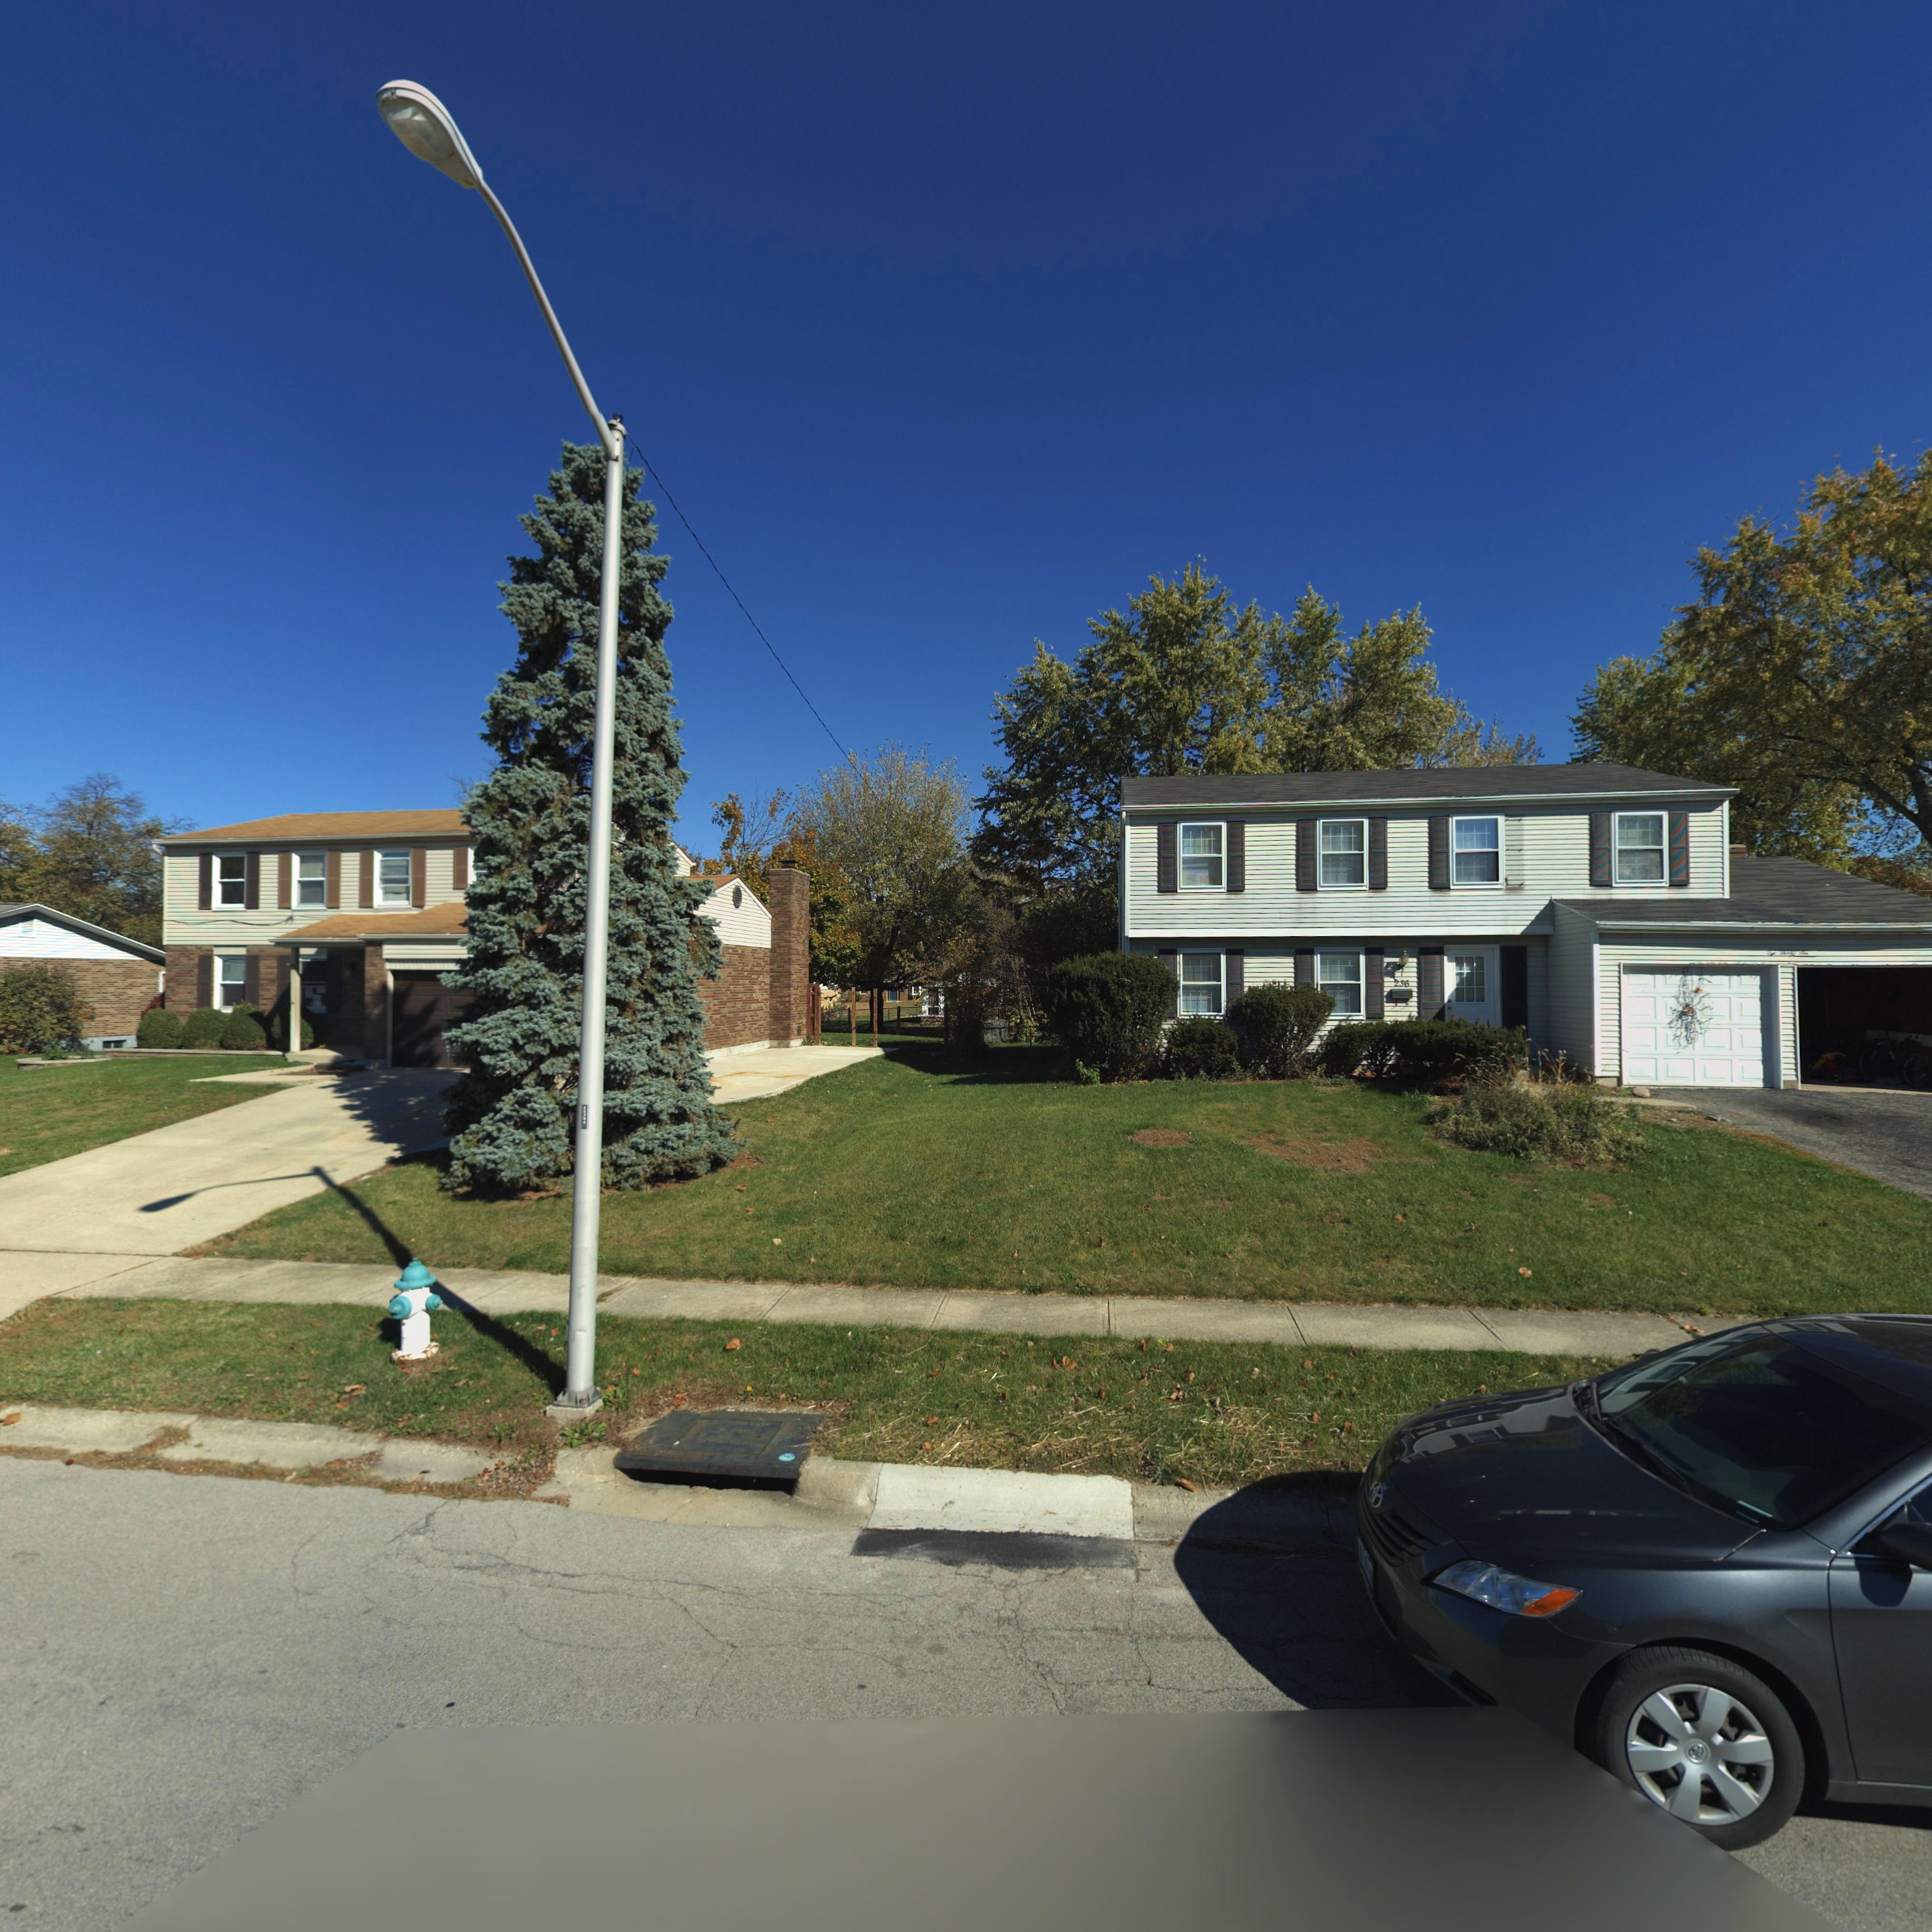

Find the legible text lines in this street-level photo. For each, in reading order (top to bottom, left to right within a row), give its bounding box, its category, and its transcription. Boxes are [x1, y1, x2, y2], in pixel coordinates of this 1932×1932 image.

[1393, 979, 1410, 988] StreetNumber: 236